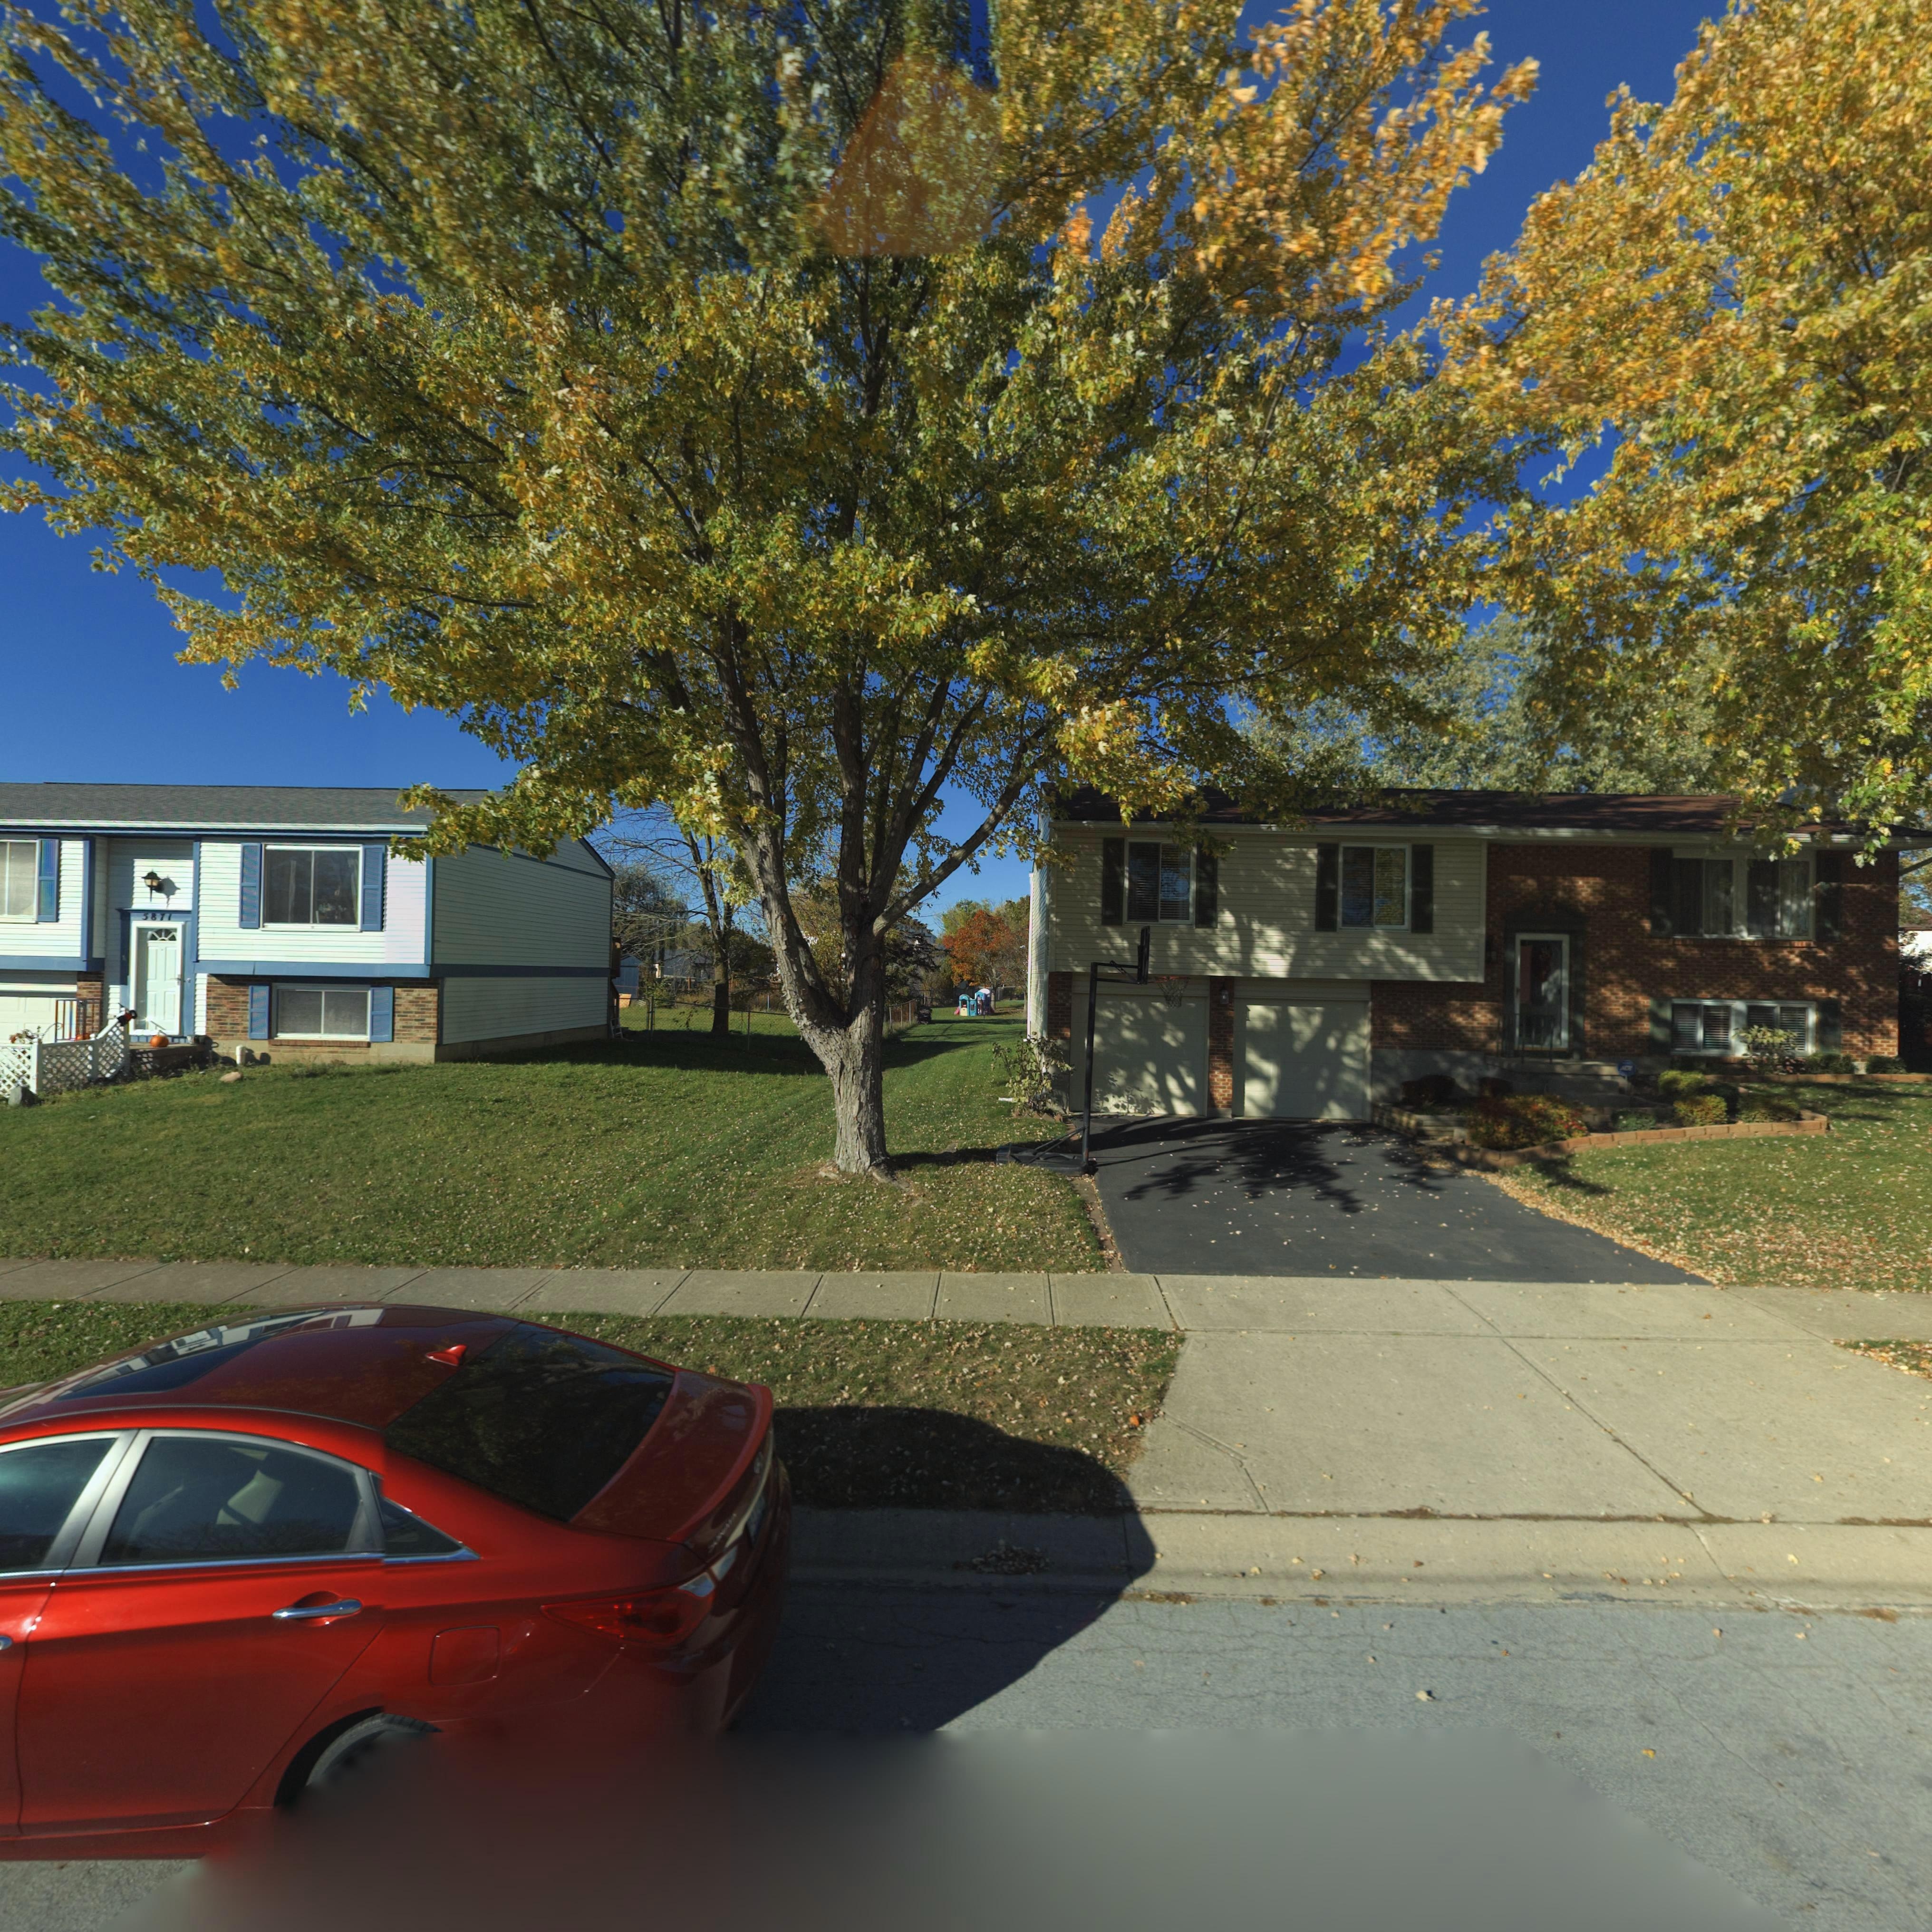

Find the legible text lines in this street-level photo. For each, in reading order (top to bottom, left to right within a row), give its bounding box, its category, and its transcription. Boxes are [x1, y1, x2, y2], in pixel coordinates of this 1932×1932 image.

[141, 912, 173, 921] StreetNumber: 5871